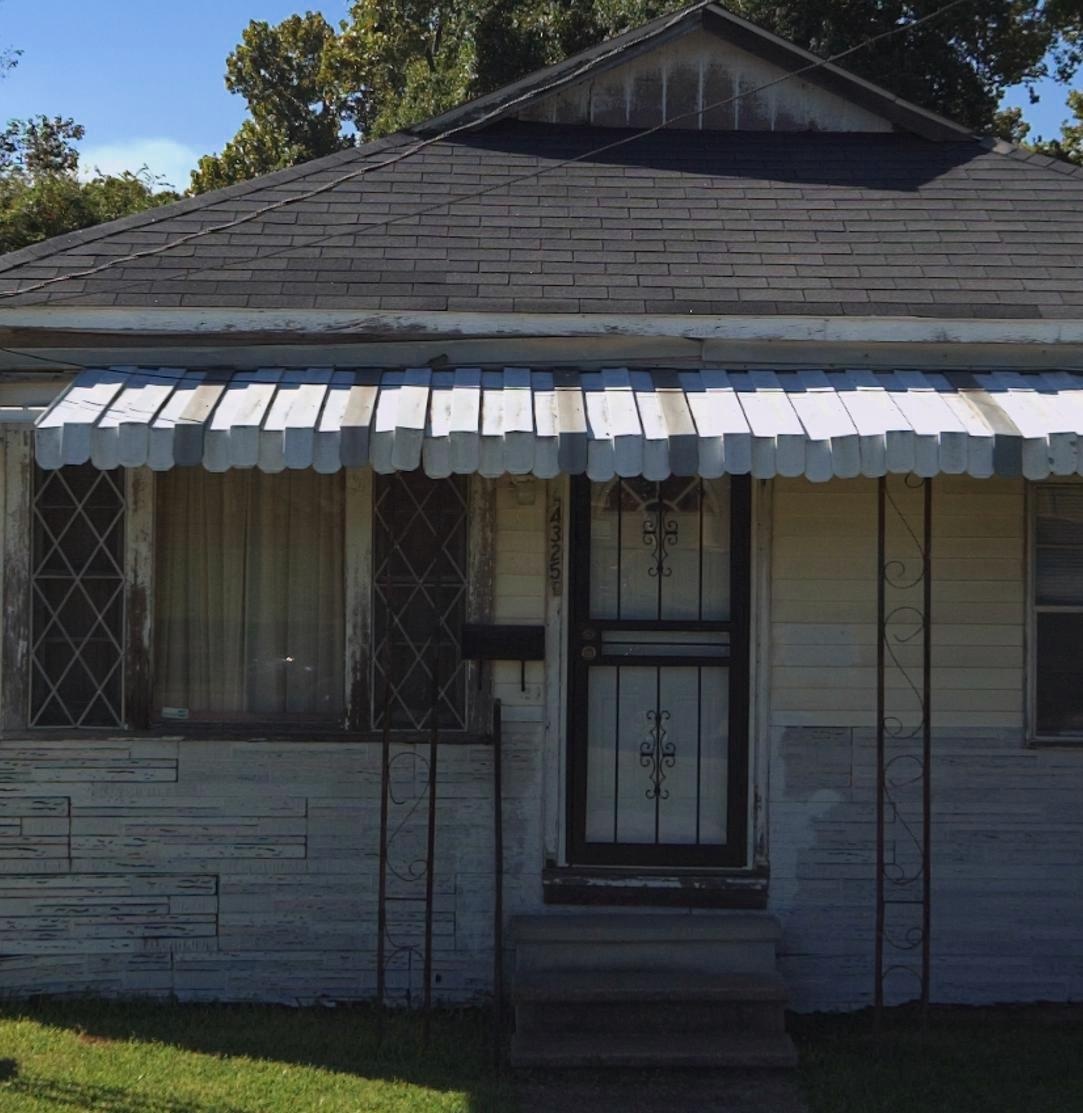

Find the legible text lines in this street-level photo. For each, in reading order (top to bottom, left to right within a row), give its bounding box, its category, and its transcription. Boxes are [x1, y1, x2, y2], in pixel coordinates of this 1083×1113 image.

[548, 506, 563, 581] StreetNumber: 4325